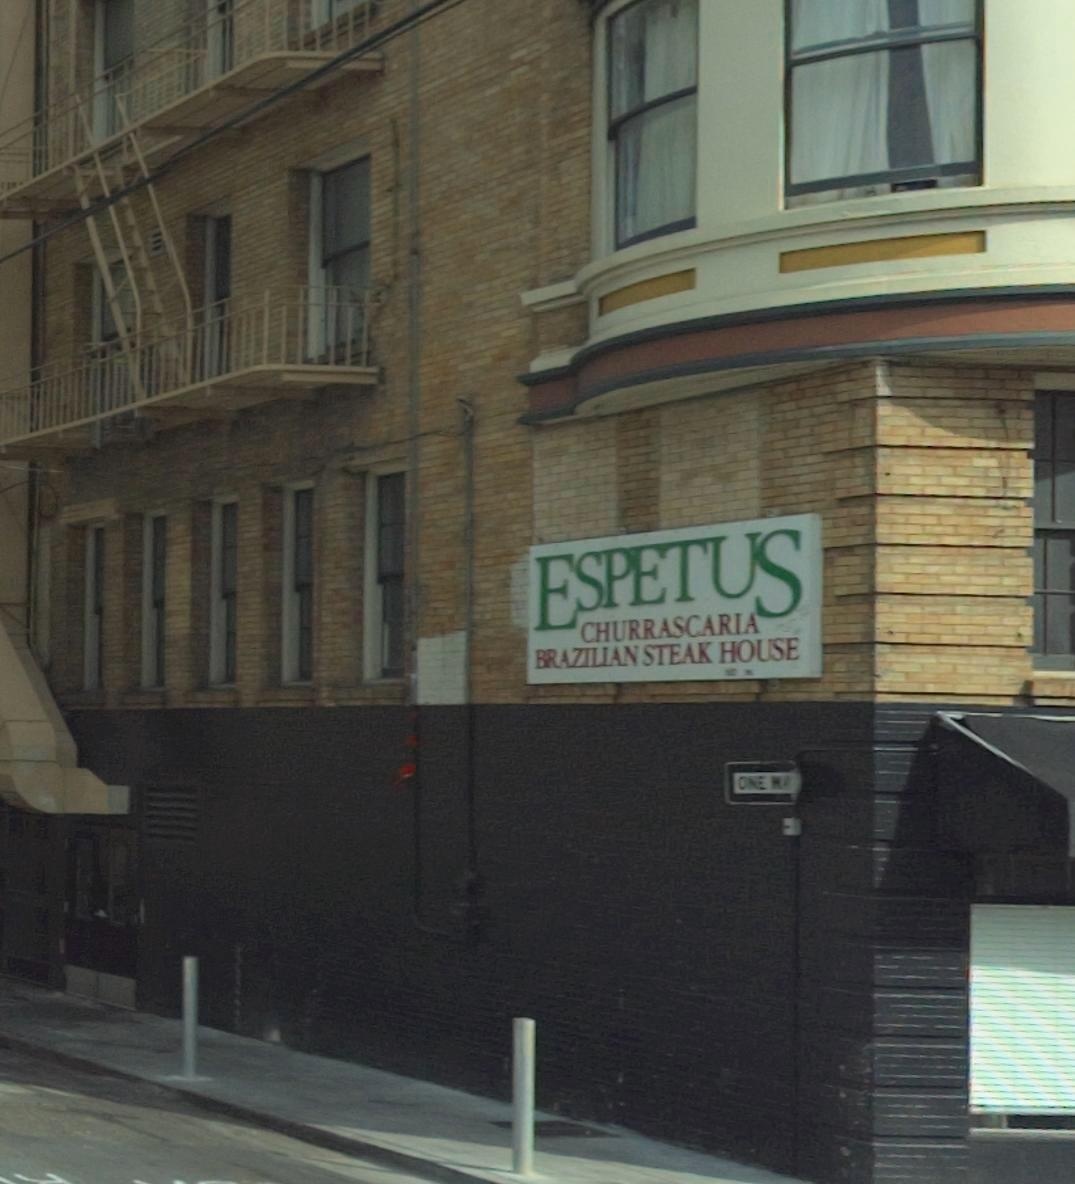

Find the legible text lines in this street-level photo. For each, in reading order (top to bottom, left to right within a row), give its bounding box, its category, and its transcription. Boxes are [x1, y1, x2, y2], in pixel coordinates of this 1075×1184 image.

[531, 524, 808, 635] BusinessName: ESPETUS
[577, 608, 767, 648] BusinessName: CHURRASCARIA
[530, 632, 804, 673] None: BRAZILIAN STEAK HOUSE
[736, 771, 770, 793] None: O*E